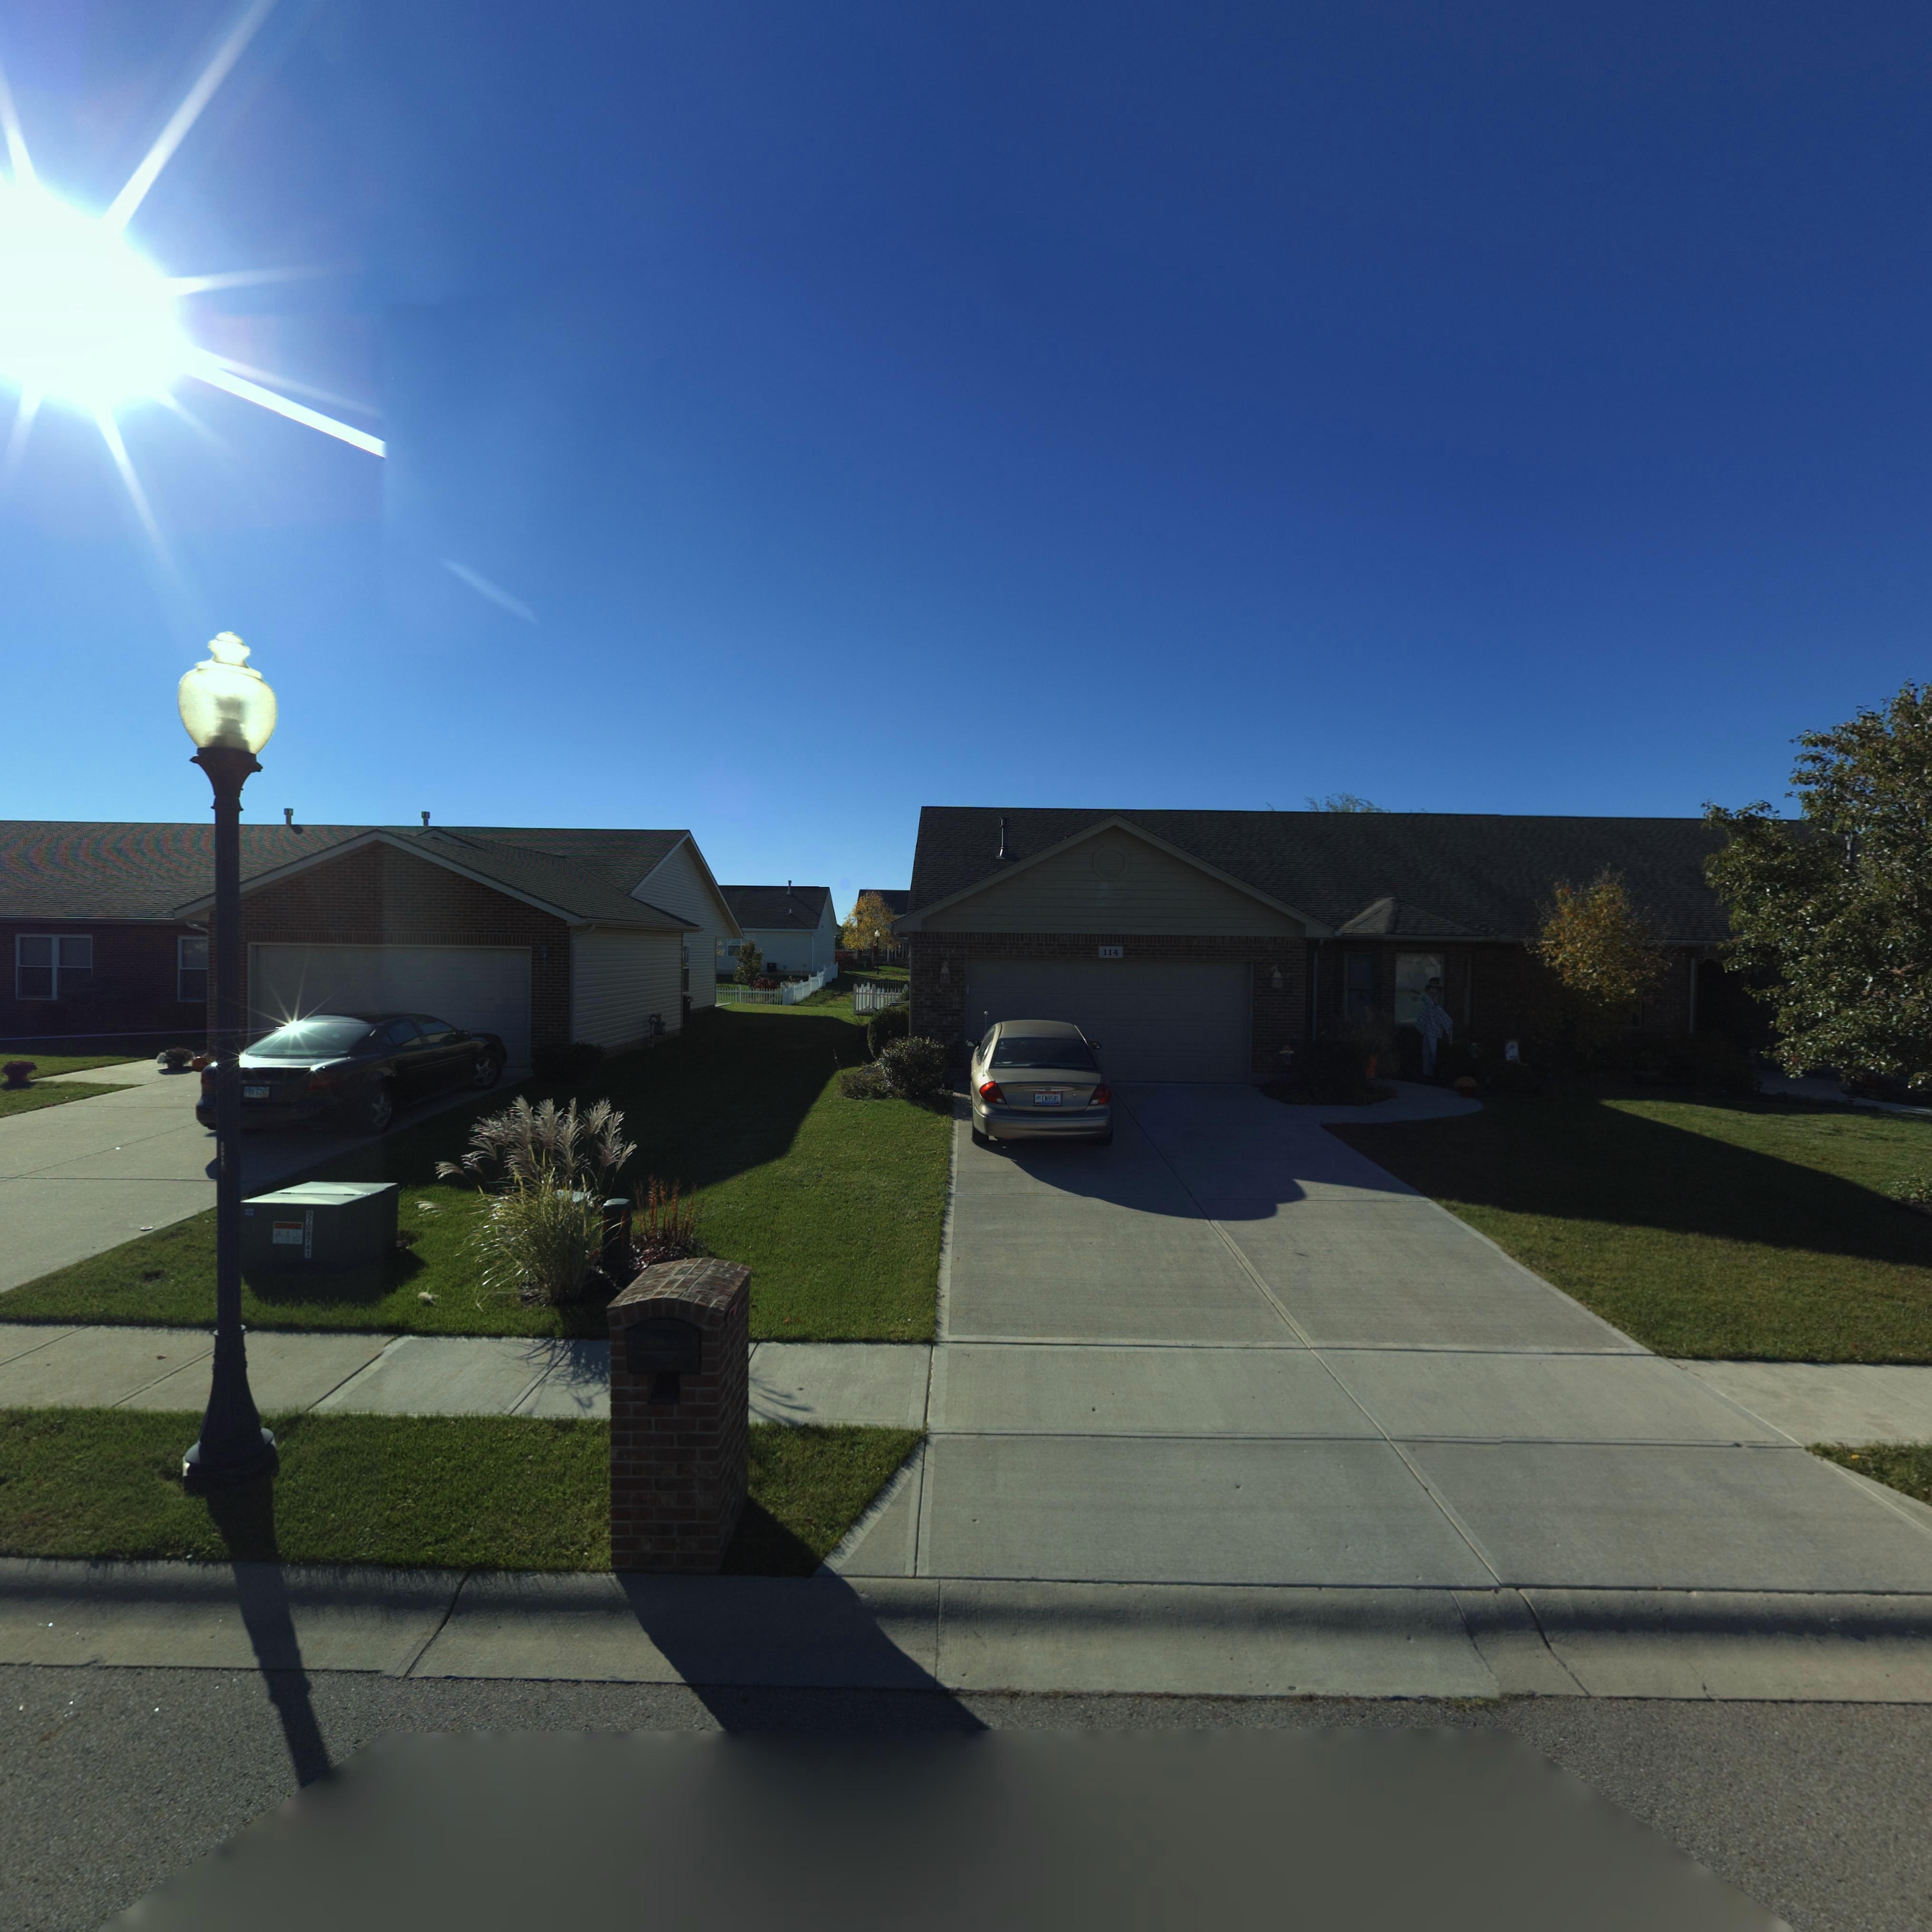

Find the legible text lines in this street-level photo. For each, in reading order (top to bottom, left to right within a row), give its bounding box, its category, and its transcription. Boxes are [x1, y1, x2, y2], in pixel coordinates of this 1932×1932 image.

[1103, 948, 1119, 956] StreetNumber: 114